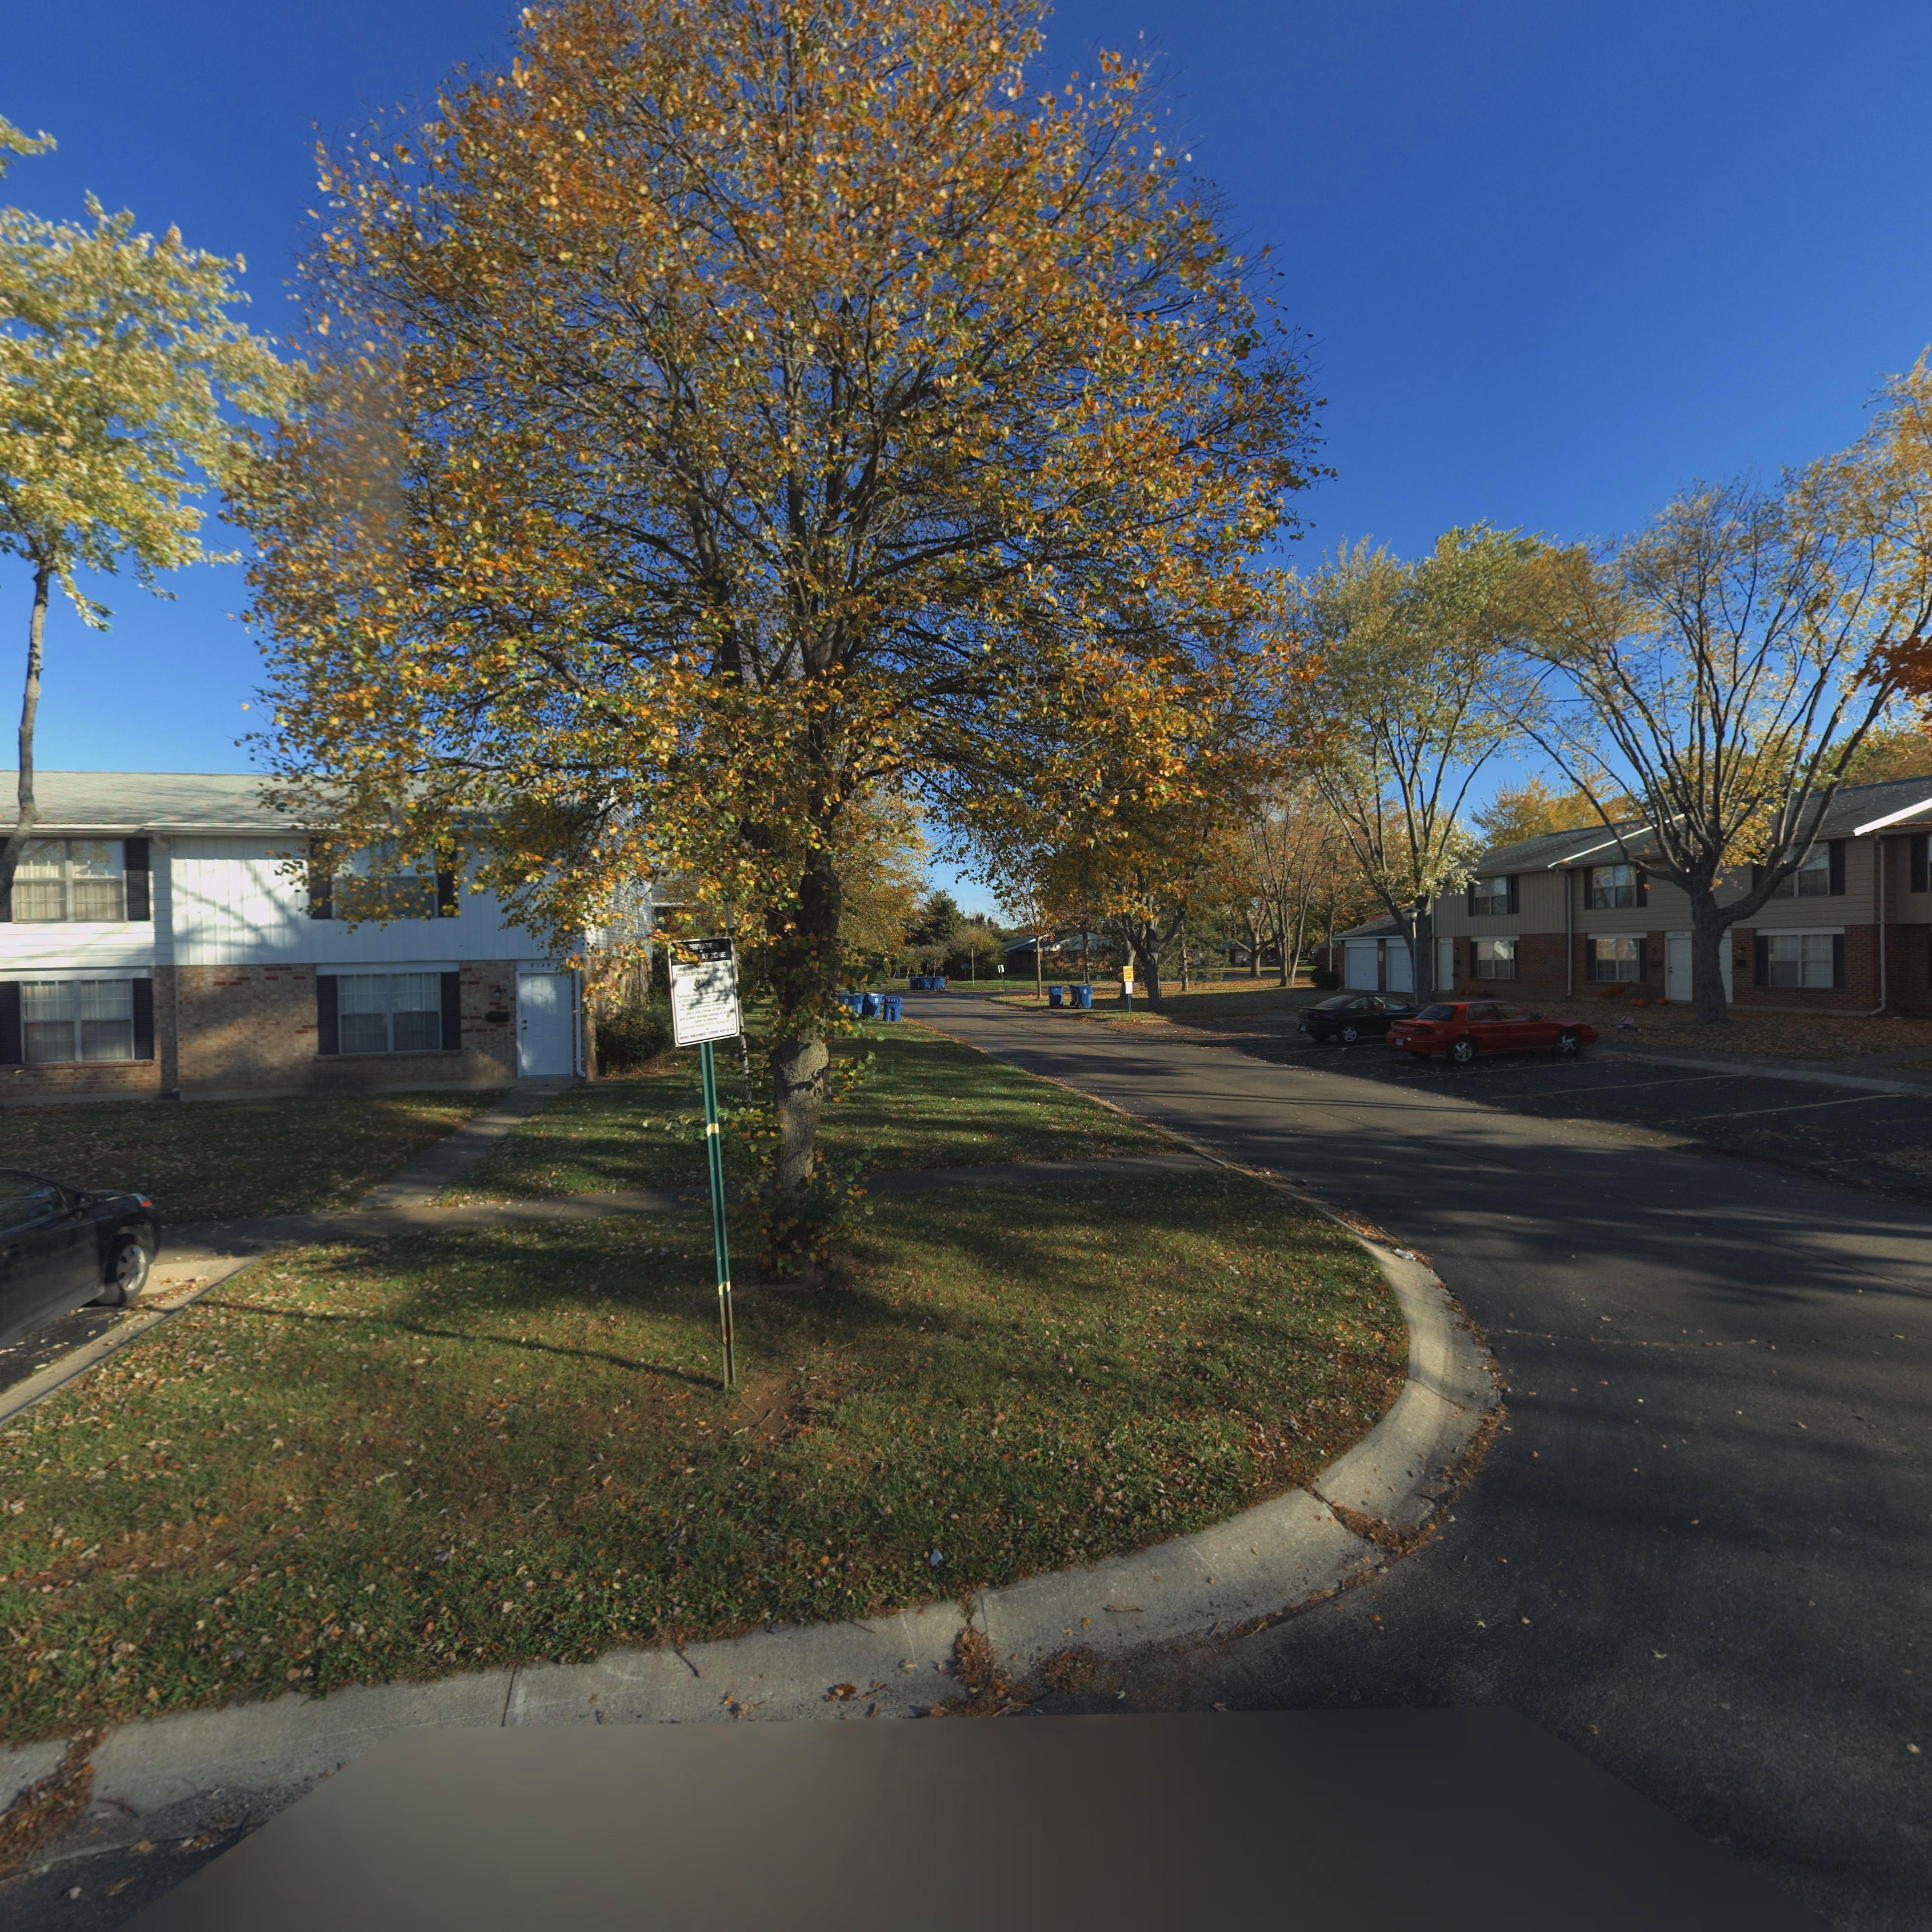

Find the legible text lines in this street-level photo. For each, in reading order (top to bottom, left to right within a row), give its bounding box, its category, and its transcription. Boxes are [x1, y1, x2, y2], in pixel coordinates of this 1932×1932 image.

[685, 940, 715, 954] None: PRIVATE
[708, 950, 726, 960] None: ZONE
[529, 962, 552, 969] StreetNumber: *149